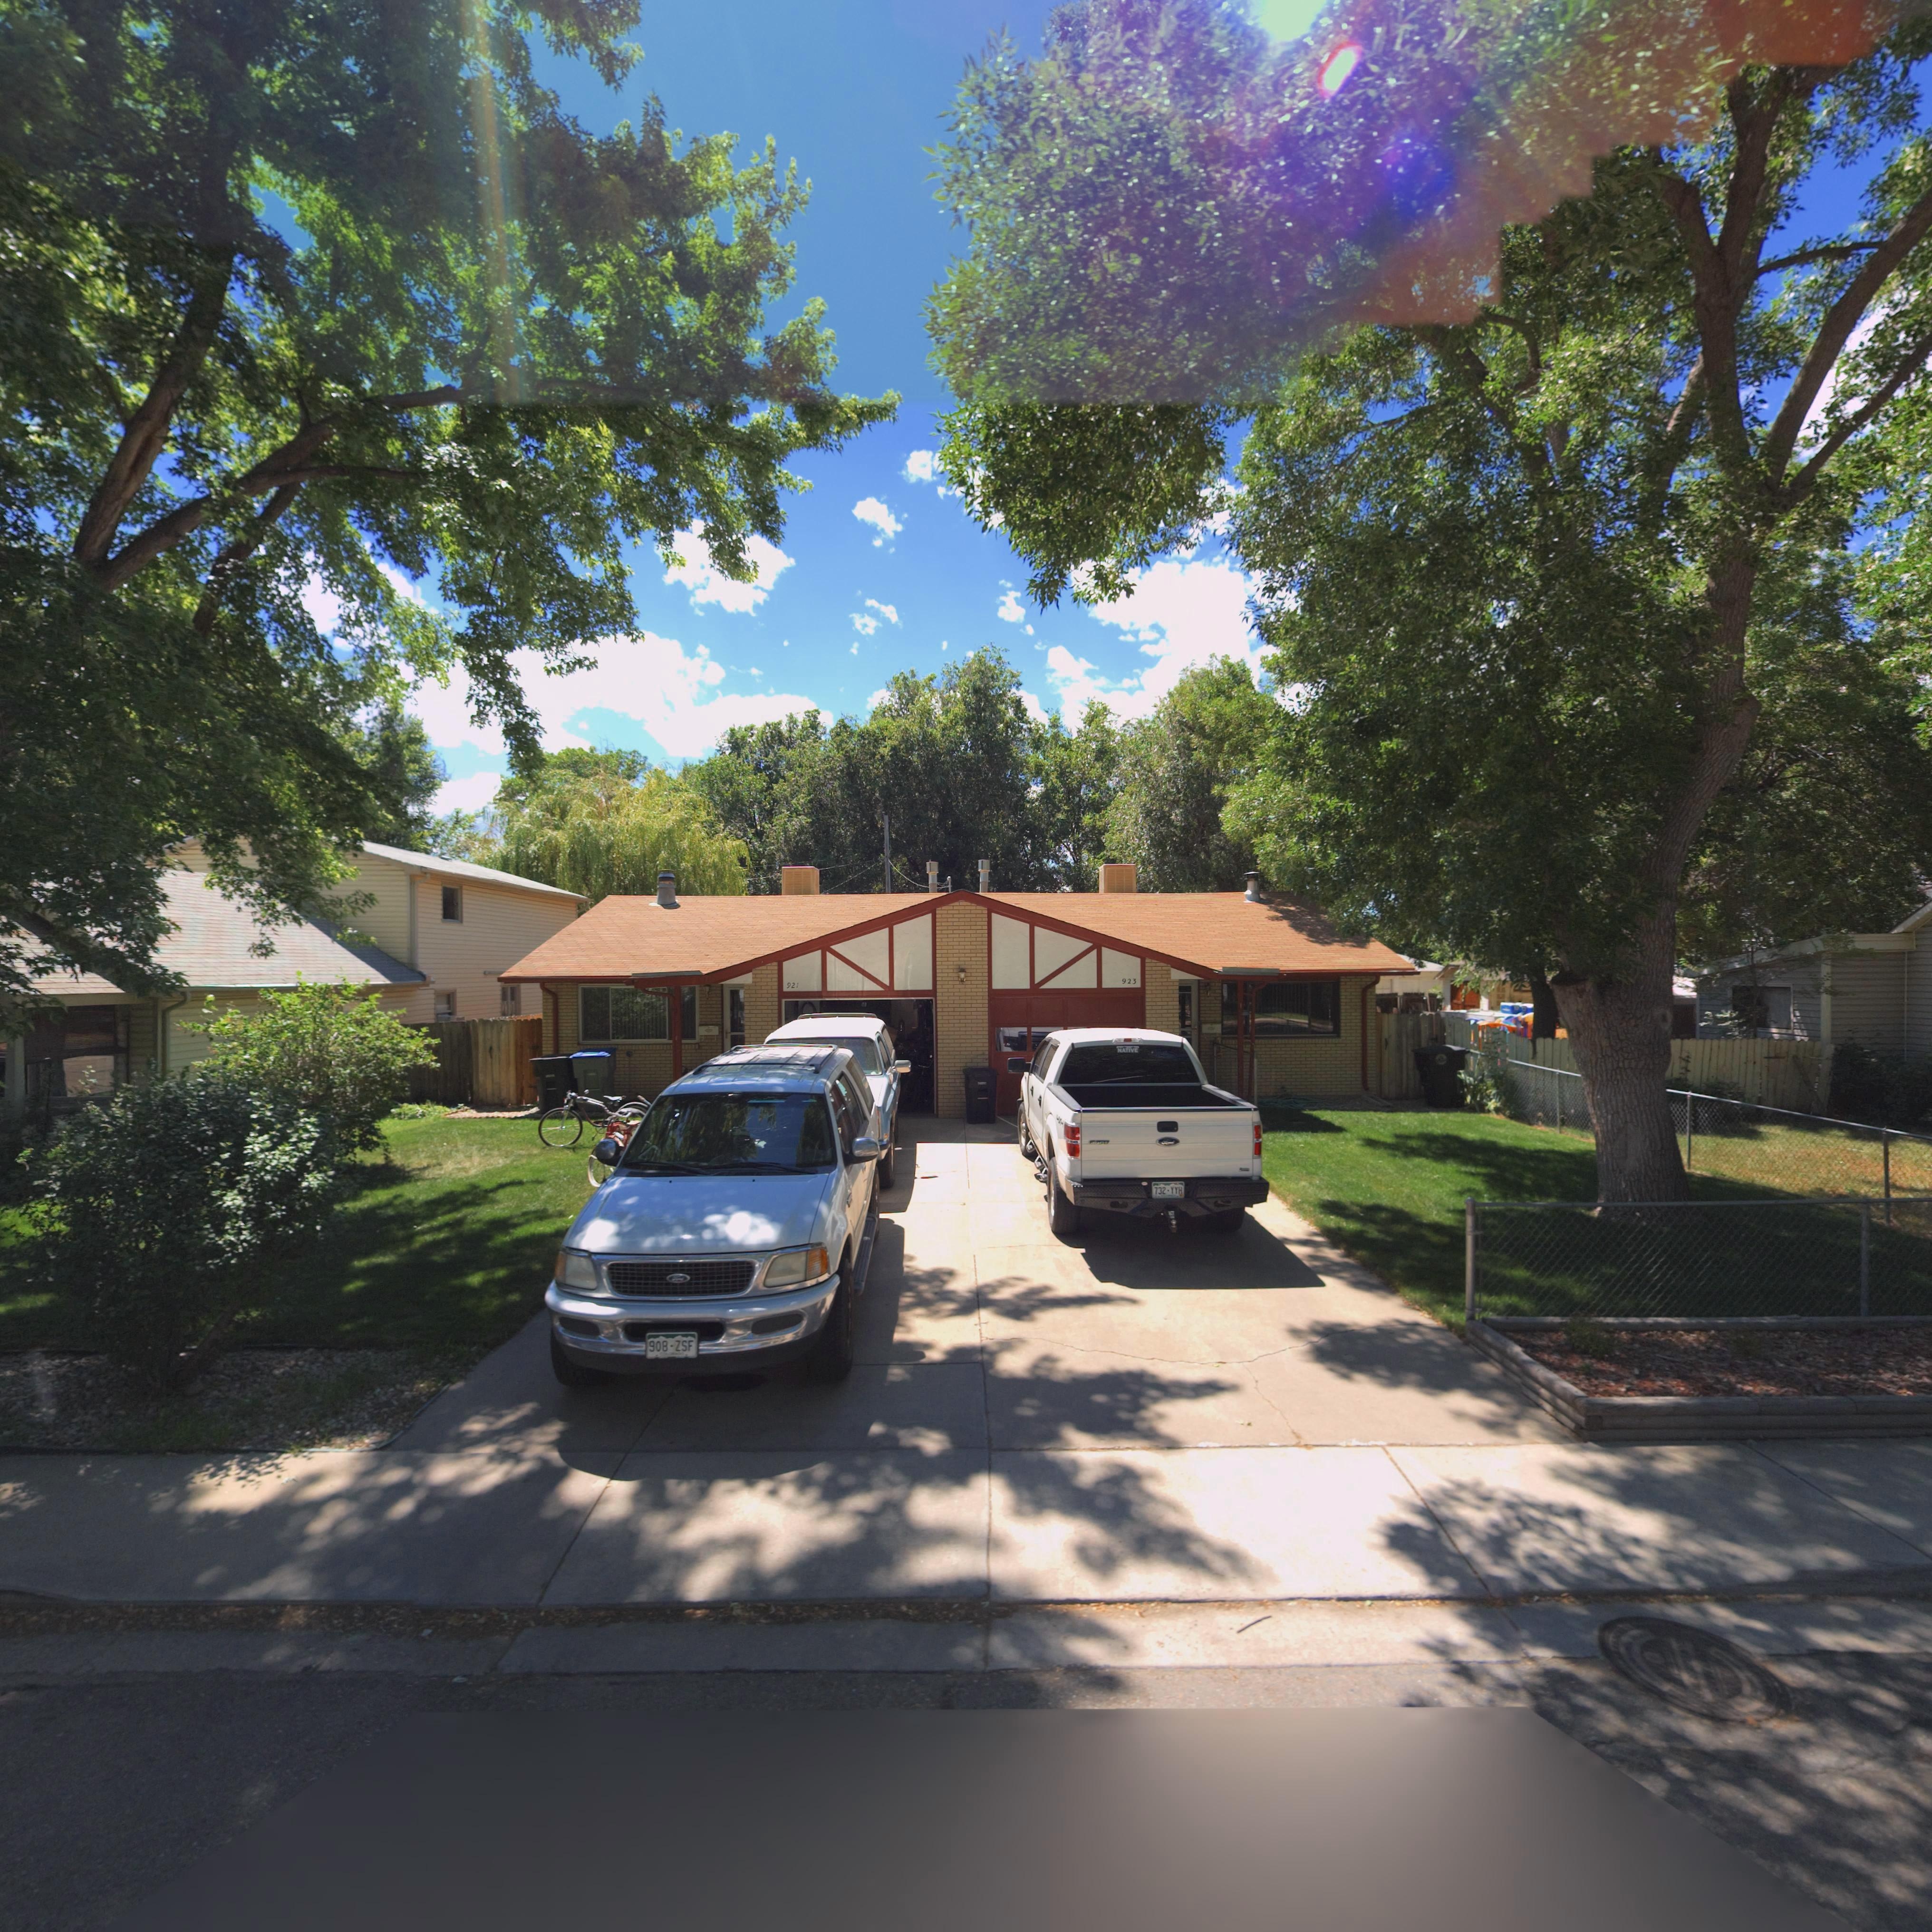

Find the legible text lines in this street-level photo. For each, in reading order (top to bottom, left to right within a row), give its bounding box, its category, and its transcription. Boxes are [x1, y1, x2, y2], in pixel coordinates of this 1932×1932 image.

[1121, 977, 1136, 984] StreetNumber: 923
[786, 982, 799, 988] StreetNumber: 921